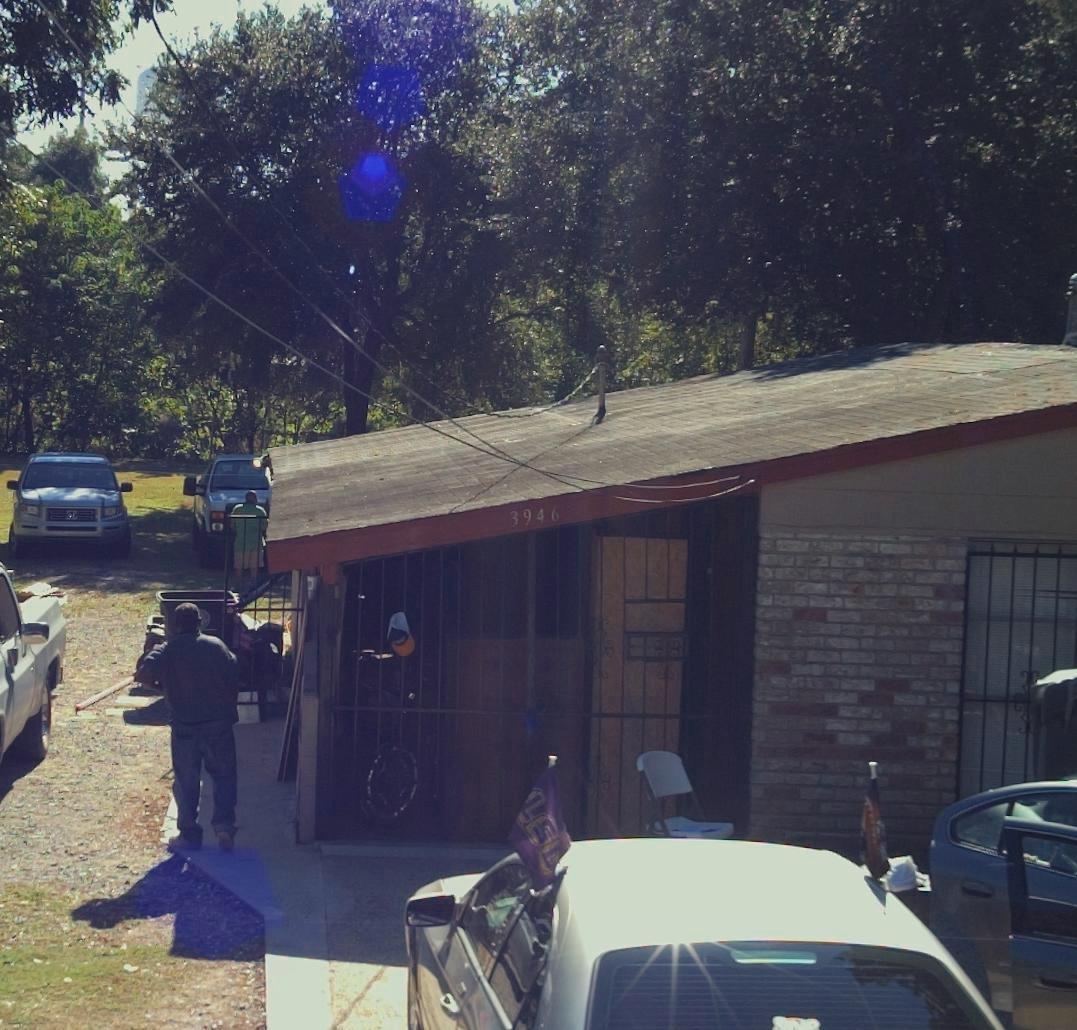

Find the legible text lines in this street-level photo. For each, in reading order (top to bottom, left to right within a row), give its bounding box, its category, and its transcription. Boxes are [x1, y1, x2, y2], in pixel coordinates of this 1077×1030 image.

[508, 503, 563, 531] StreetNumber: 3946
[517, 790, 564, 874] None: LSL